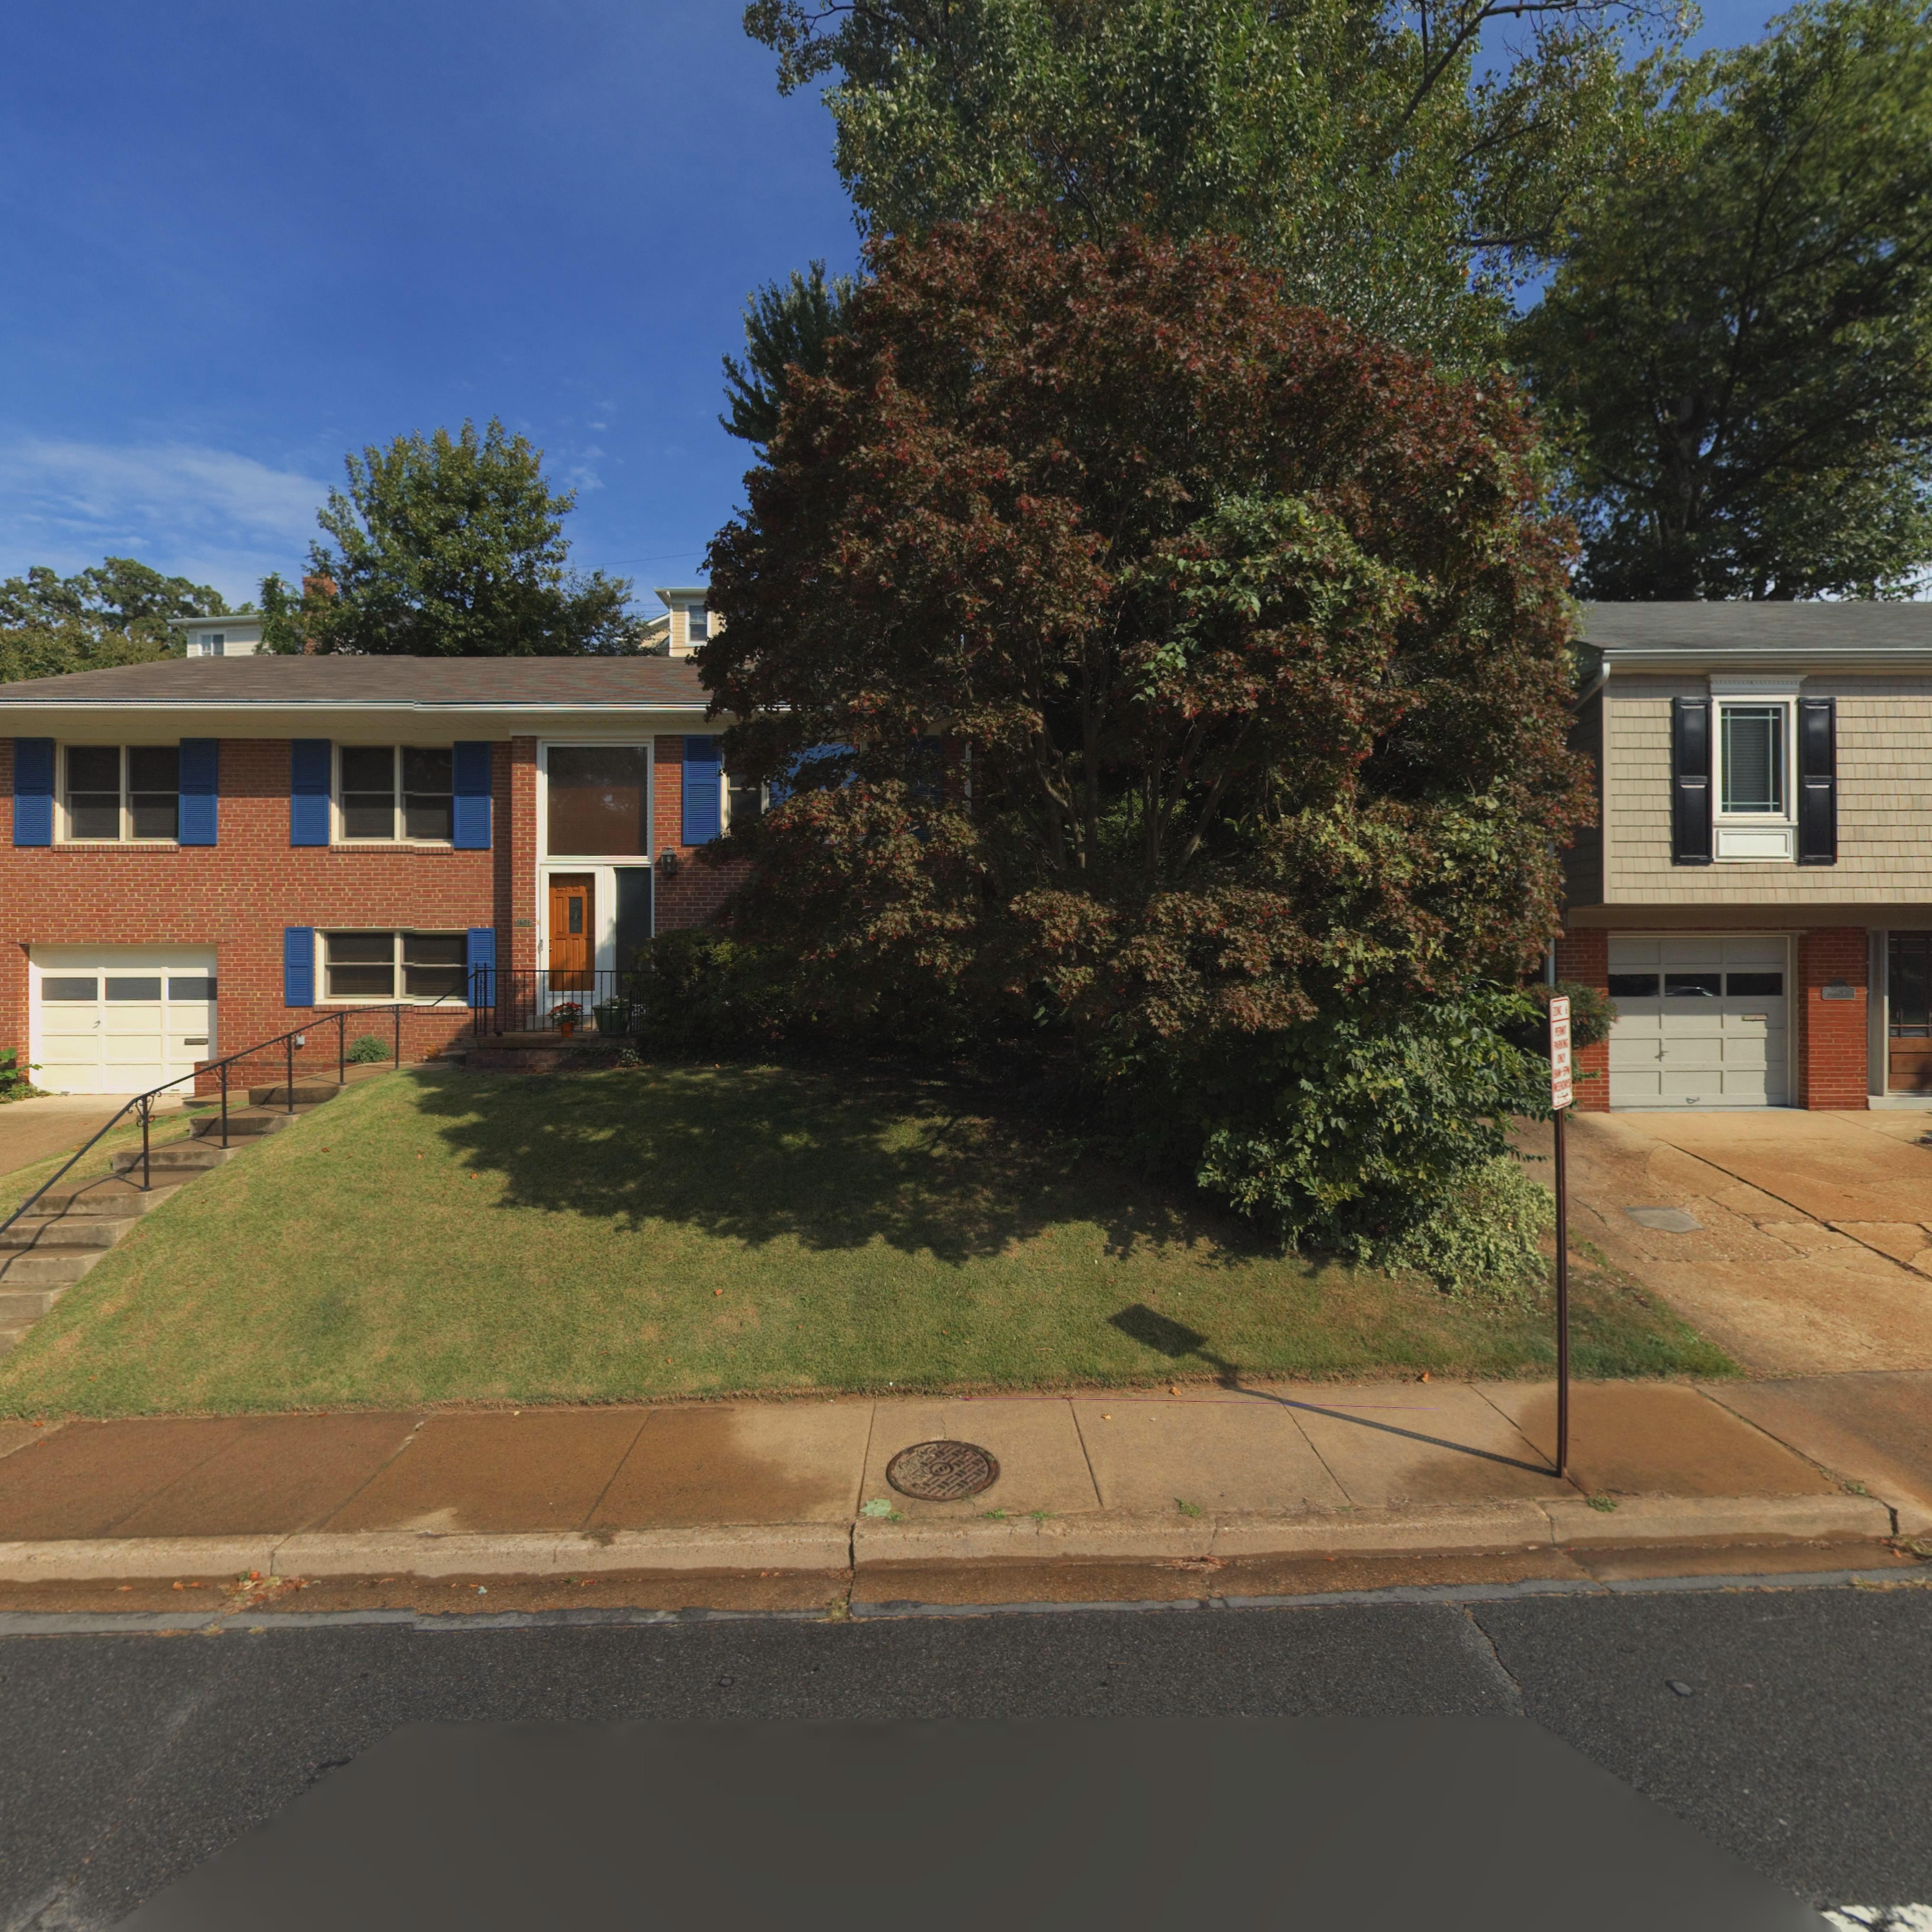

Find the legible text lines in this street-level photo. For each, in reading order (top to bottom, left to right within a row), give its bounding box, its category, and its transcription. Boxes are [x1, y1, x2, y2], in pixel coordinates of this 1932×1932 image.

[516, 919, 531, 926] StreetNumber: 1601